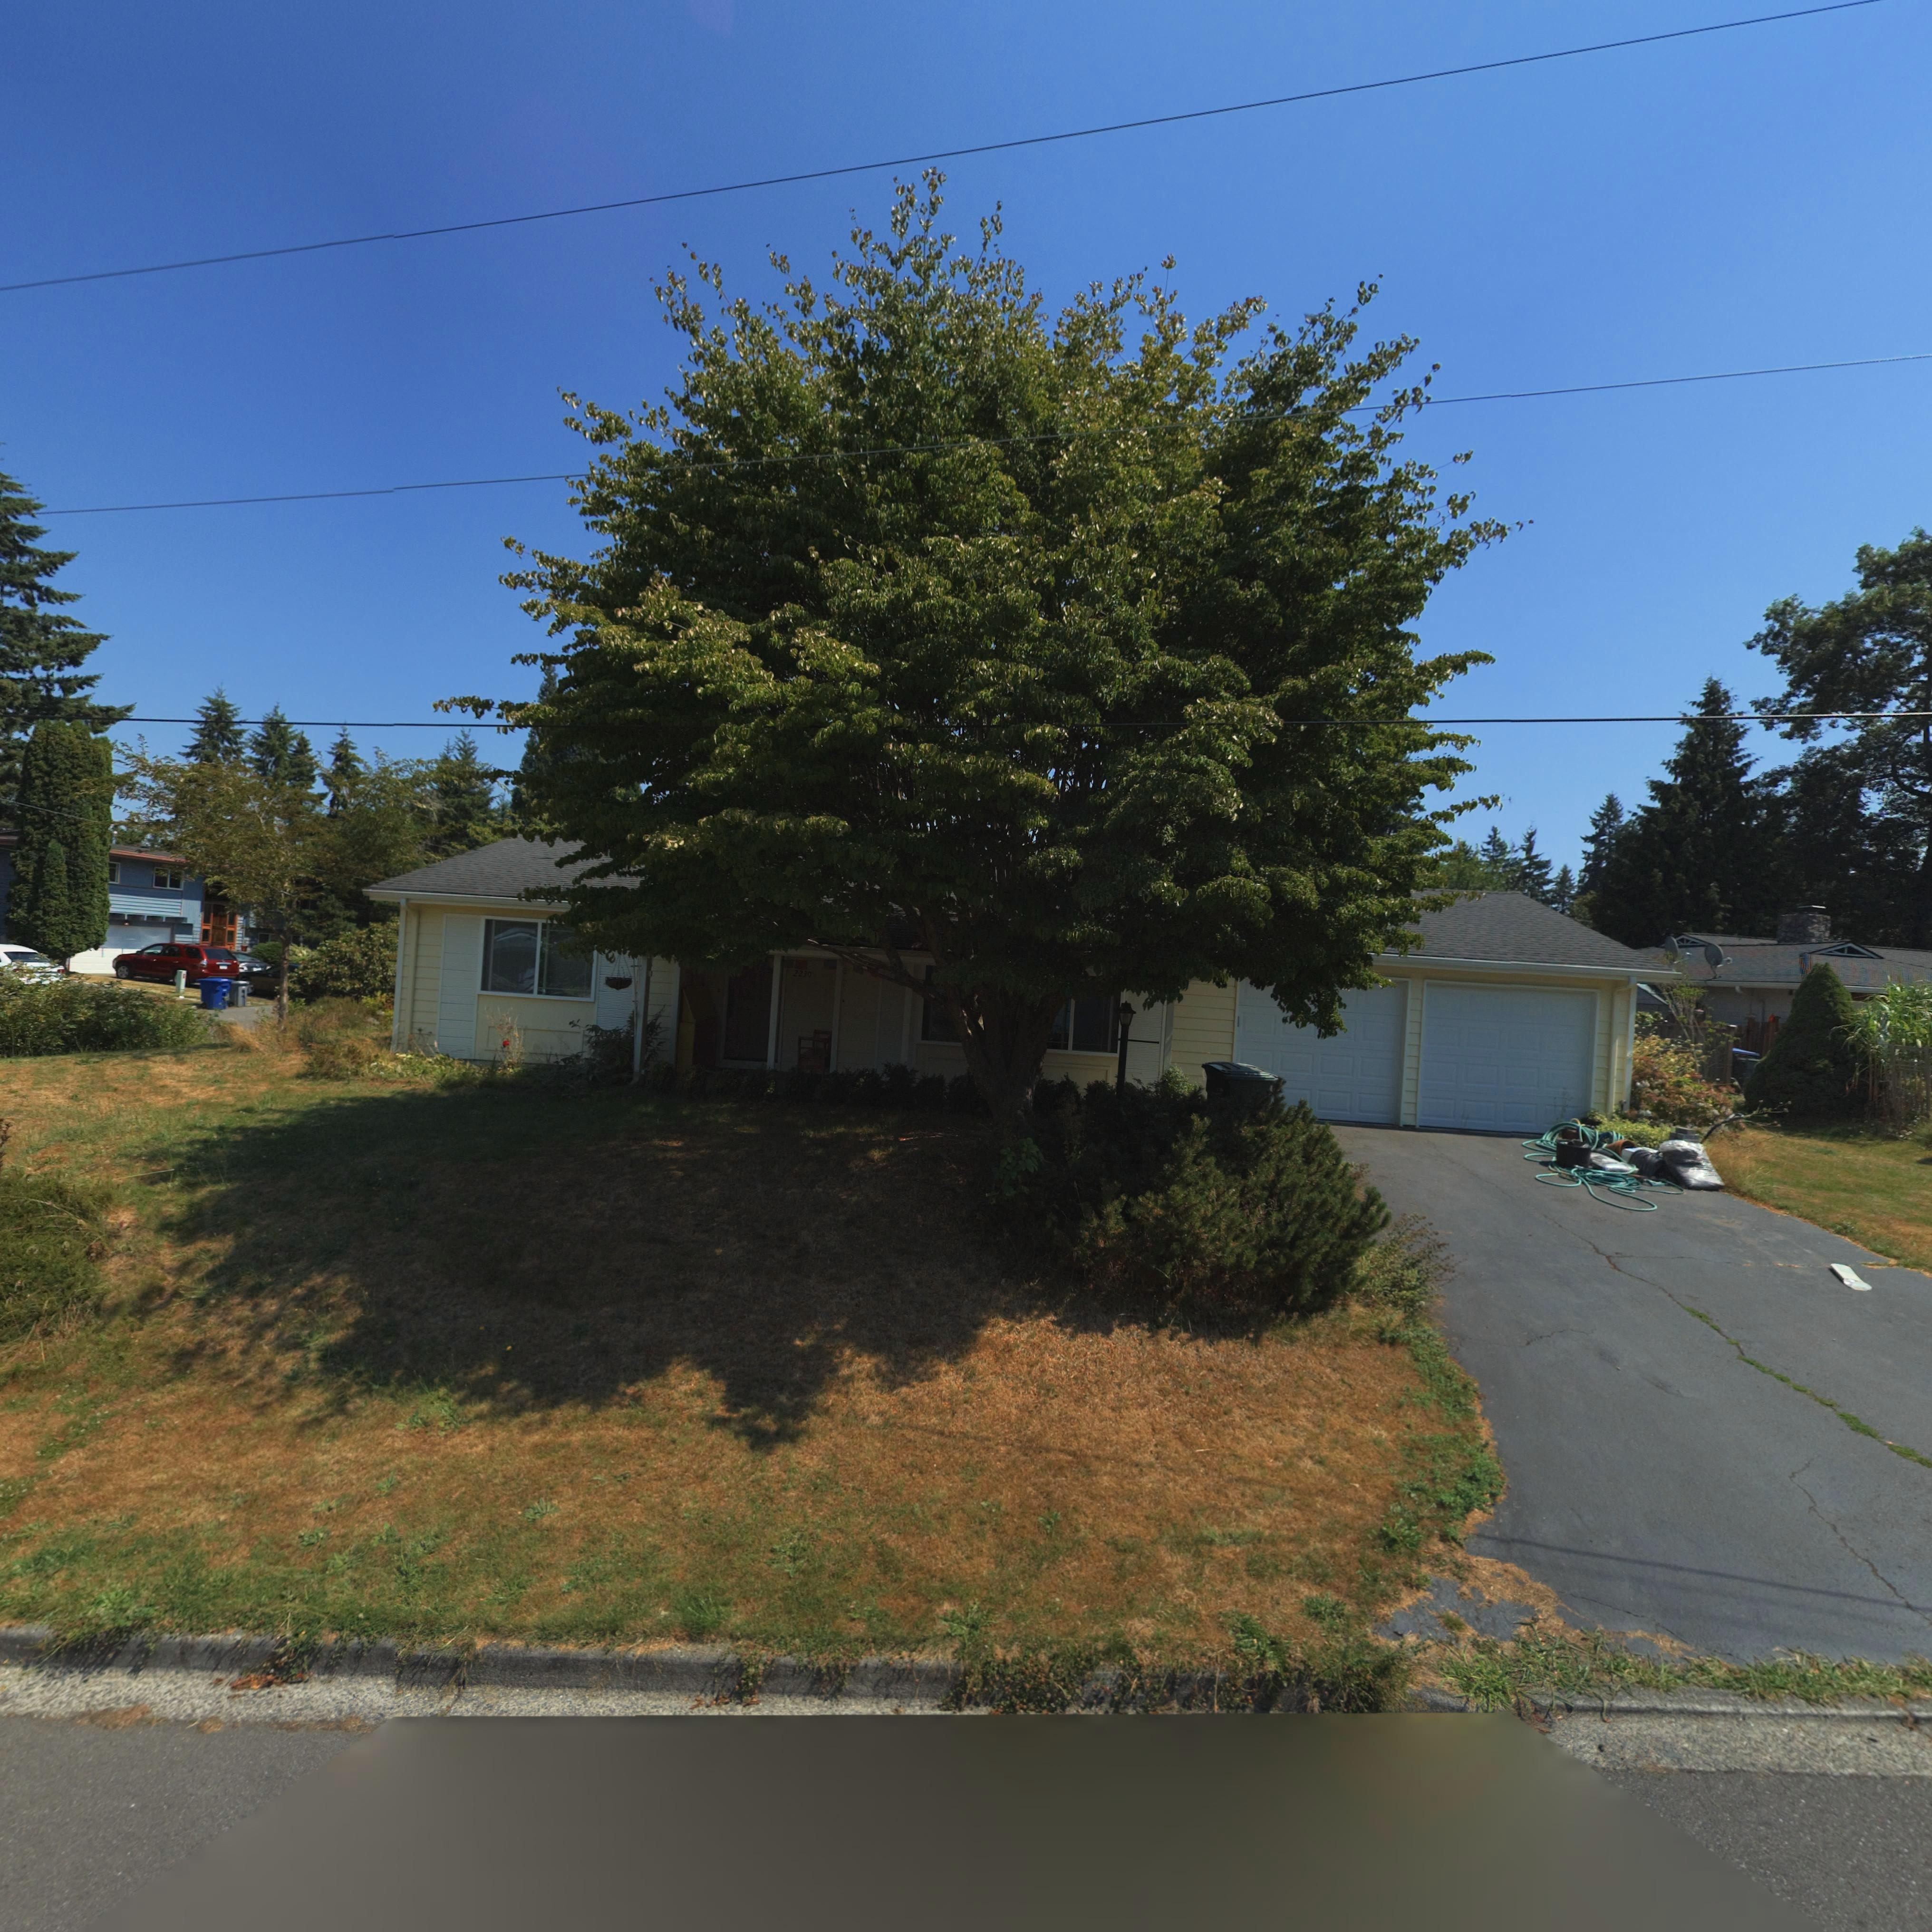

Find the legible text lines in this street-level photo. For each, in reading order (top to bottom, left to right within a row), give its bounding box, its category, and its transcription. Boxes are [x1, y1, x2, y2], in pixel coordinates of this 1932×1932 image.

[792, 969, 812, 978] StreetNumber: 2230